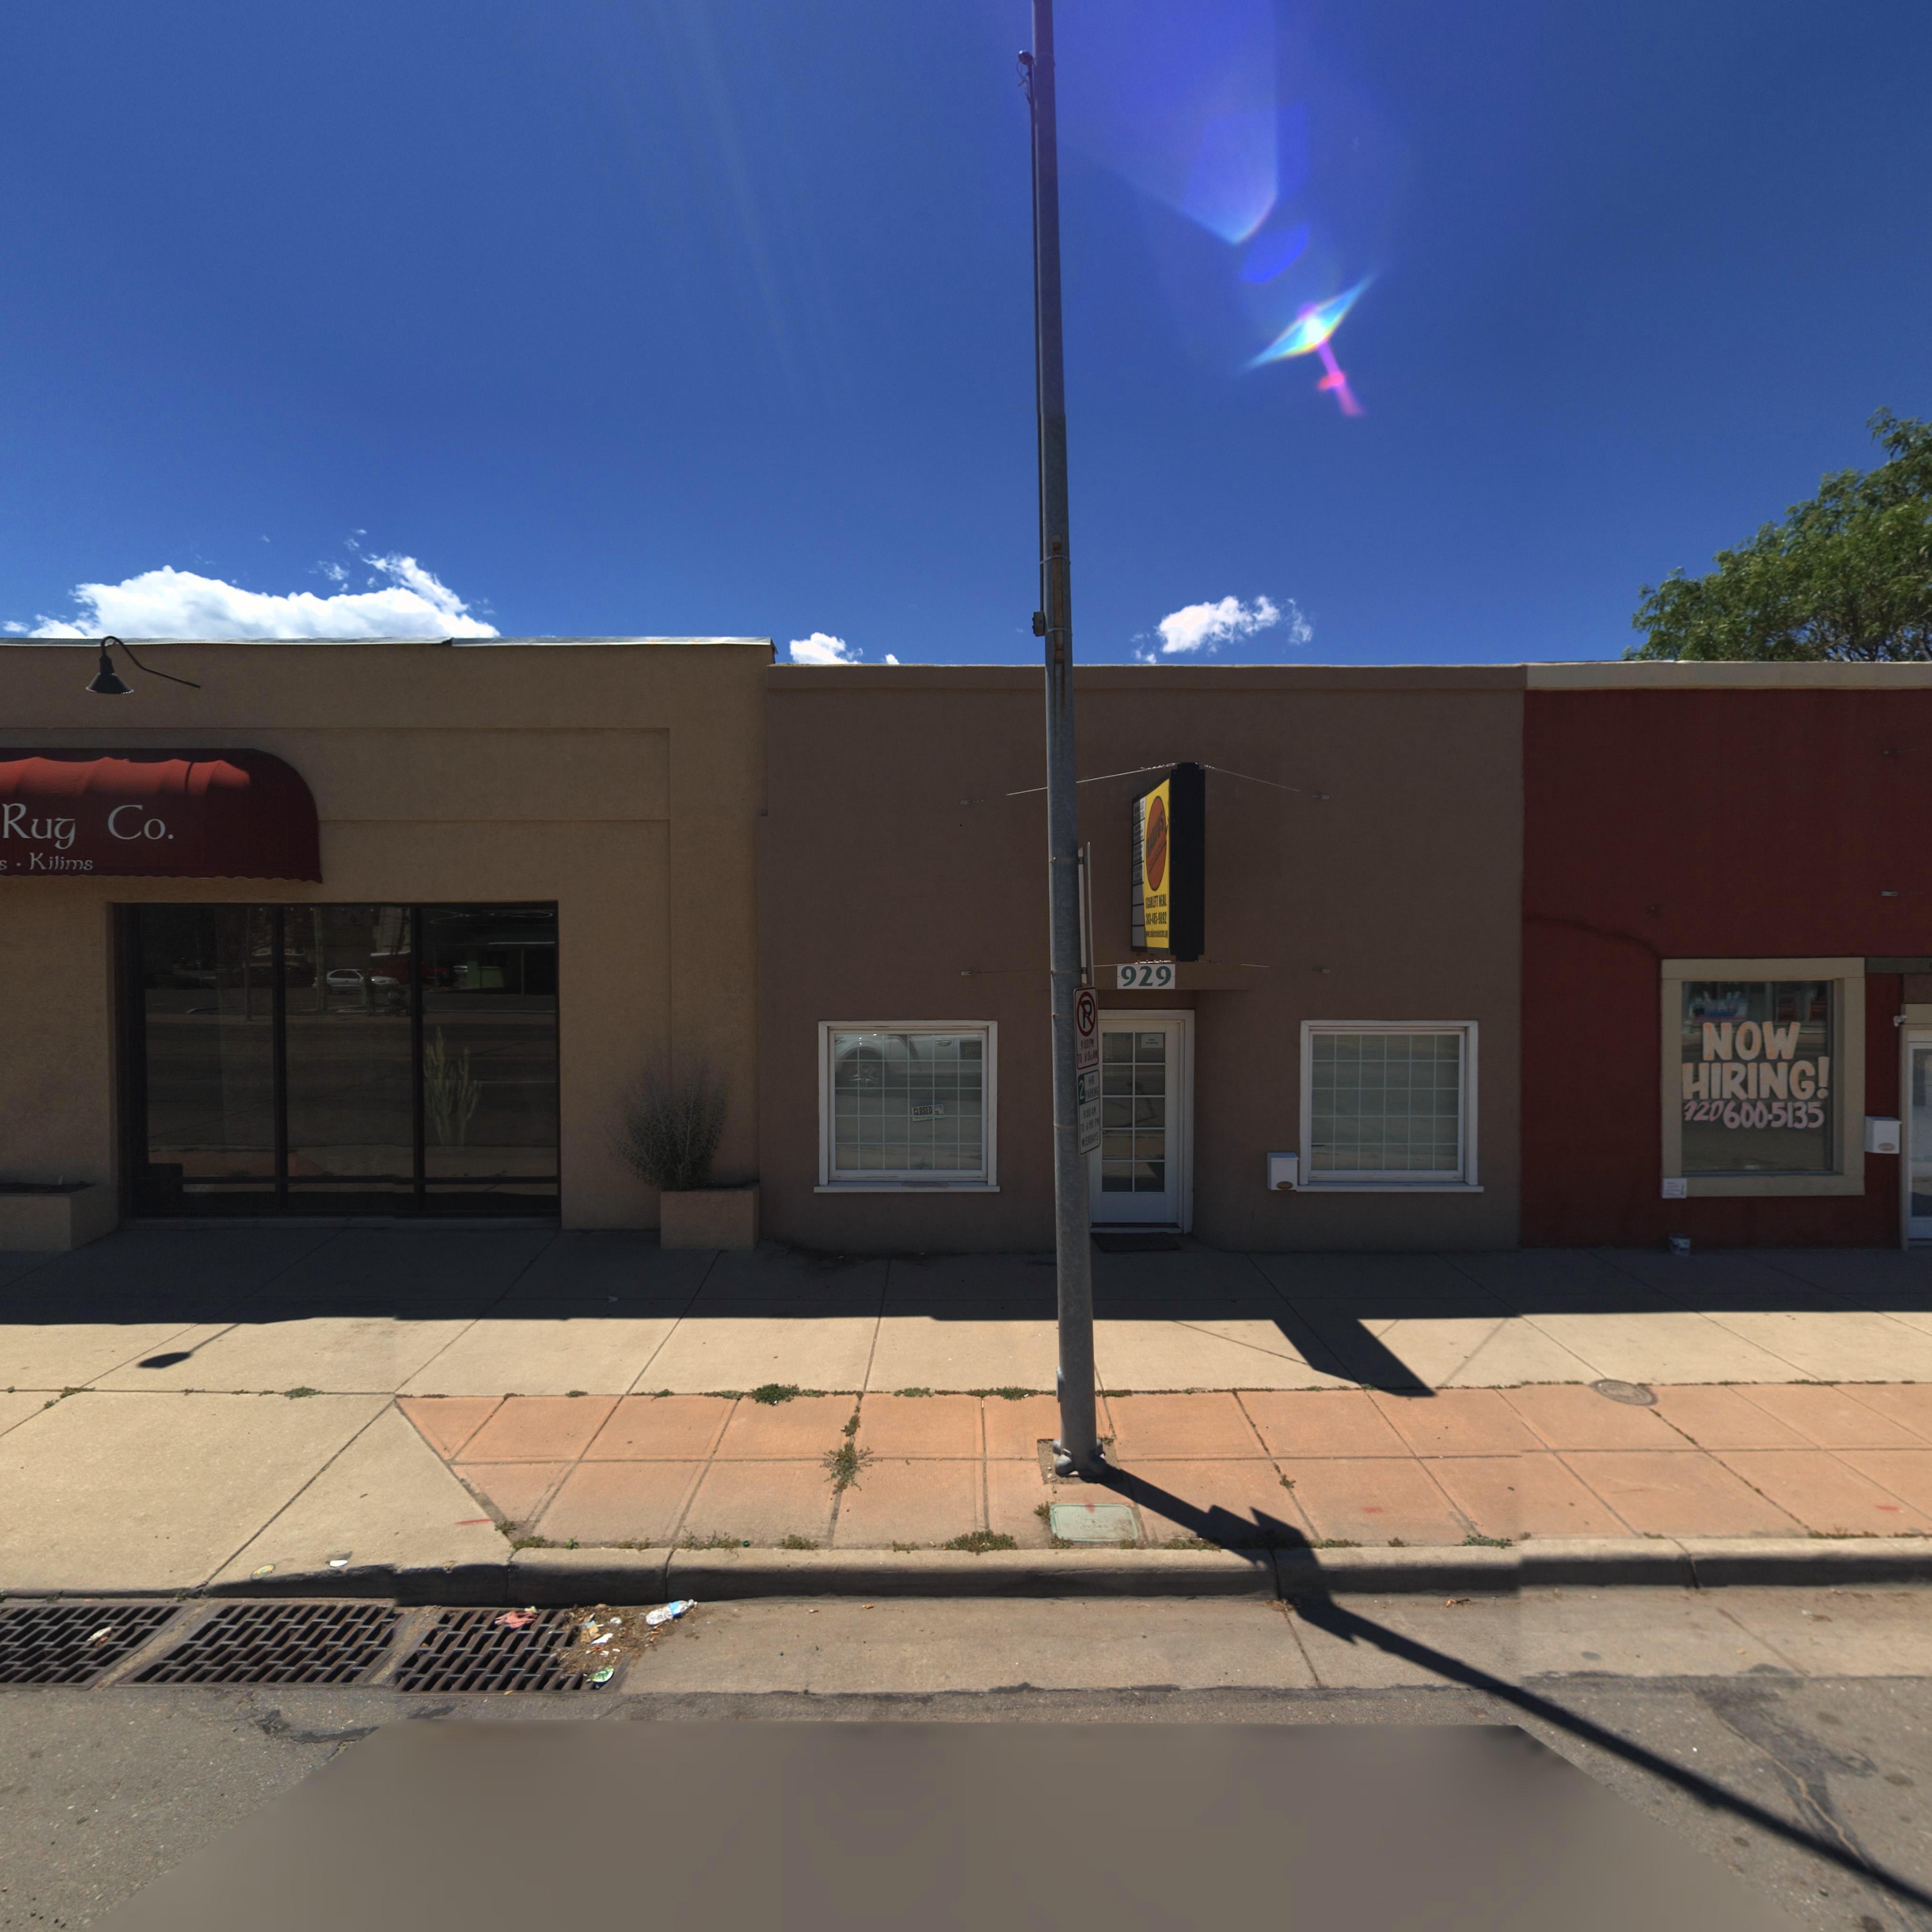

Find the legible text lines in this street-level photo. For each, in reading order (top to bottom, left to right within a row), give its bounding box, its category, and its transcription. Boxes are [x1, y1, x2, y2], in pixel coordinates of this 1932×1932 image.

[1, 801, 176, 850] BusinessName: Rug Co.
[1146, 809, 1164, 860] BusinessName: *A***S
[1146, 834, 1167, 871] BusinessName: *****SS******
[1120, 965, 1172, 986] StreetNumber: 929